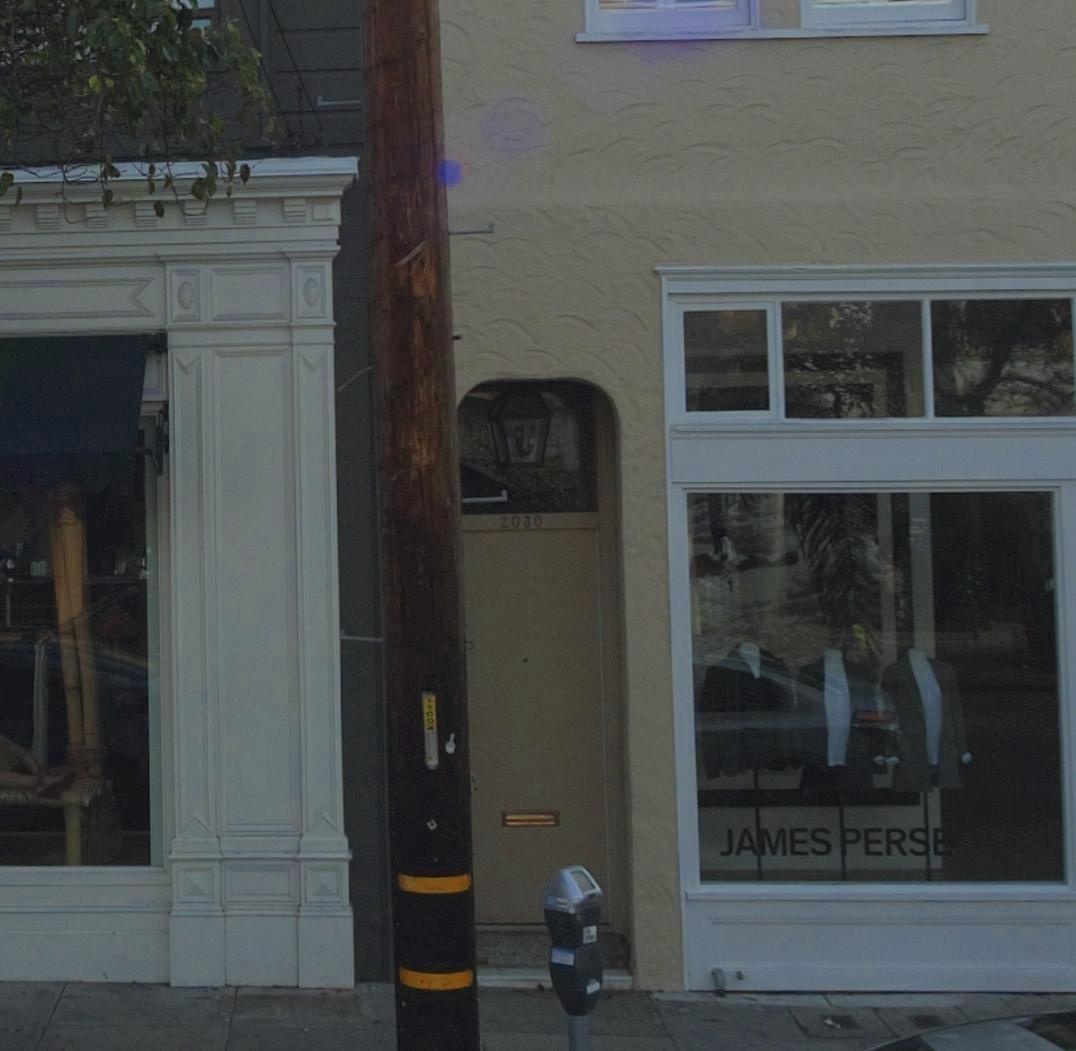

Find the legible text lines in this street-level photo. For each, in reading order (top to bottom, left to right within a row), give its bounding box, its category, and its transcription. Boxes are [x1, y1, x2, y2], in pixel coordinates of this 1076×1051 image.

[499, 513, 544, 530] StreetNumber: 2030
[424, 695, 436, 725] None: 1100
[715, 824, 953, 859] BusinessName: JAMES PERSE